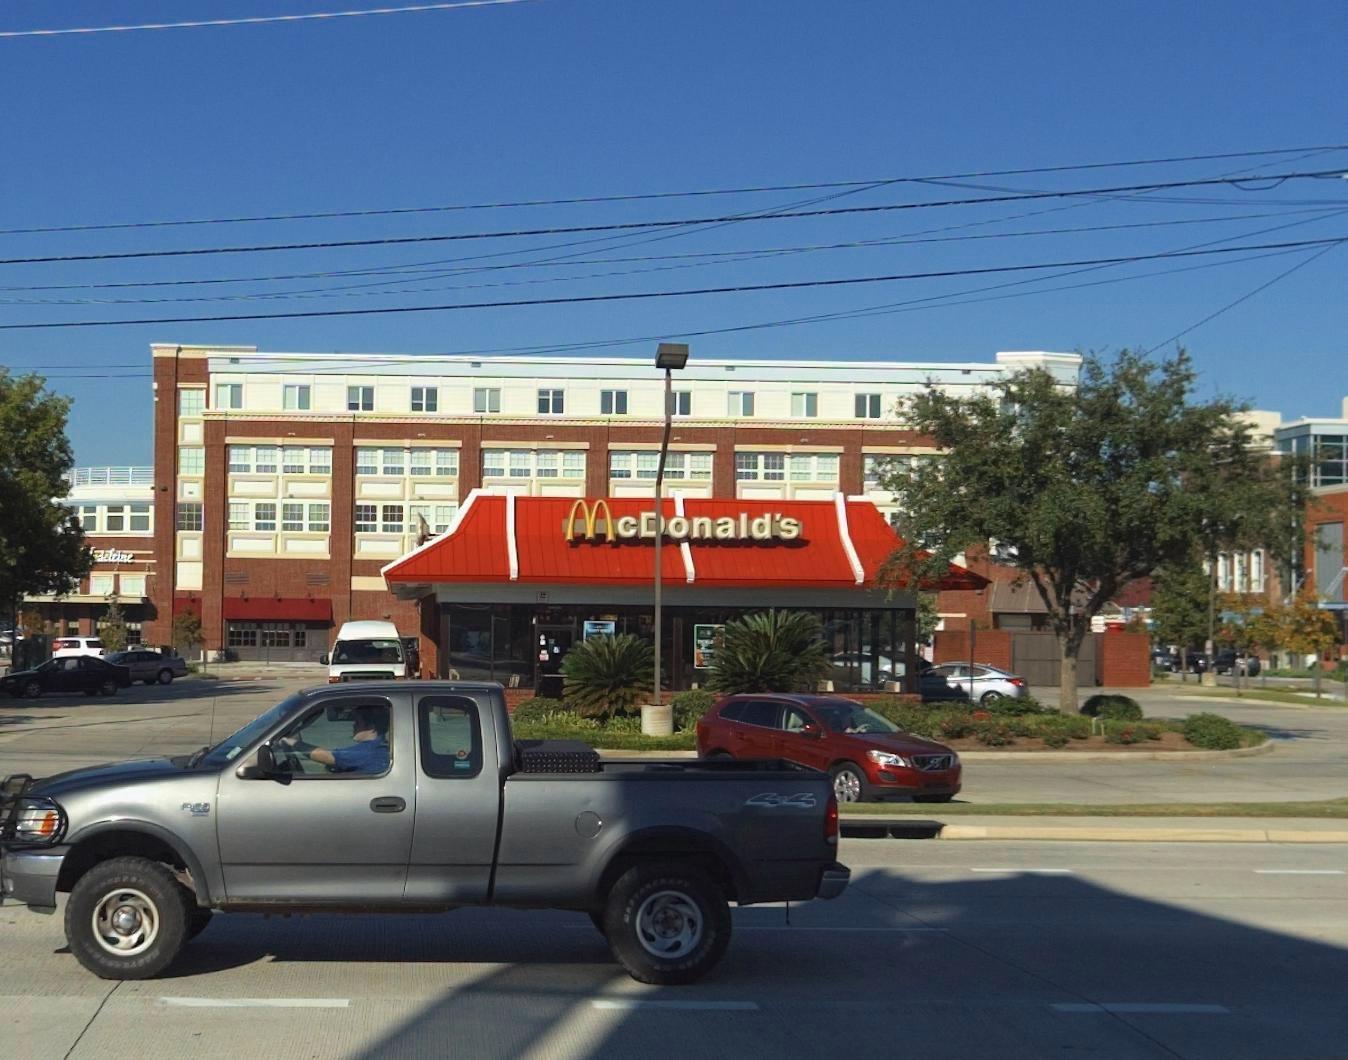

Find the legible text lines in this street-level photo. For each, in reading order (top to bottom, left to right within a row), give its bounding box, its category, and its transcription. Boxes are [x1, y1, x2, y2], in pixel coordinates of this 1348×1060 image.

[565, 498, 799, 542] BusinessName: Mc*onald's
[92, 547, 134, 566] BusinessName: del*ne
[744, 792, 817, 808] None: 4*4